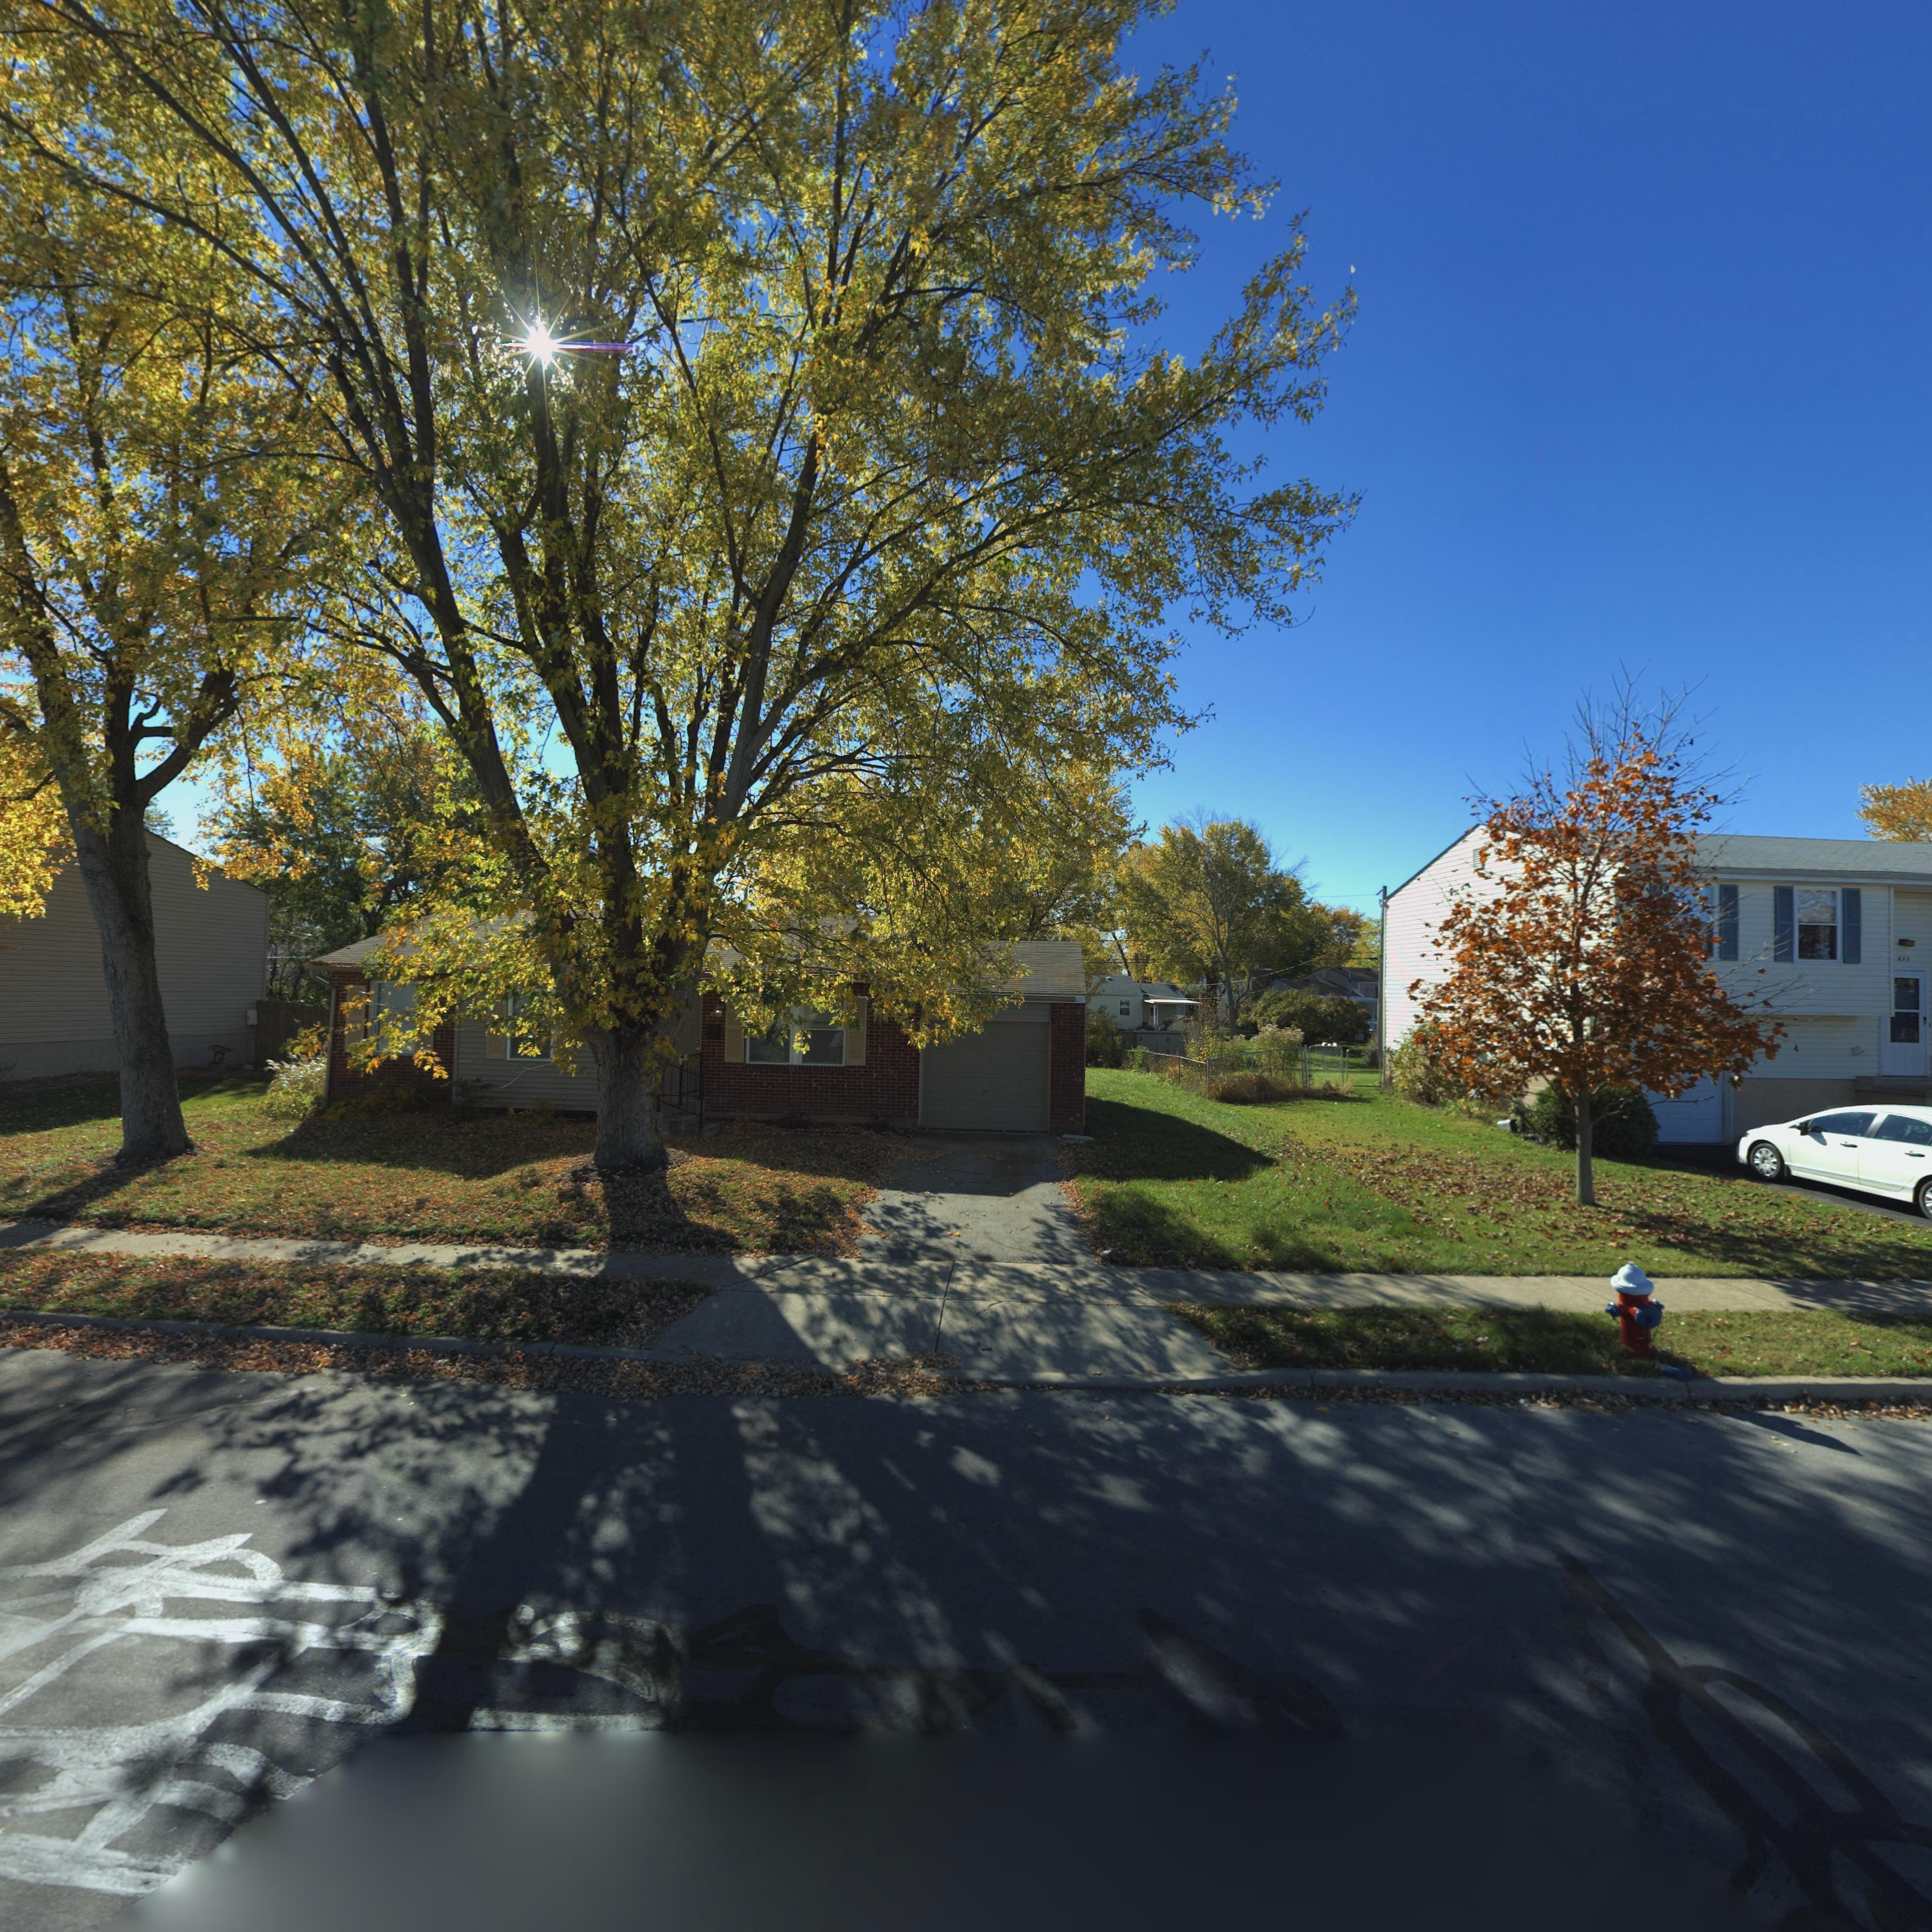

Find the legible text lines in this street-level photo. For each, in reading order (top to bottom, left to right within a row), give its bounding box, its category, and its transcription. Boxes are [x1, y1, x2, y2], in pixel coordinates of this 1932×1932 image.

[1897, 956, 1911, 962] StreetNumber: 65*